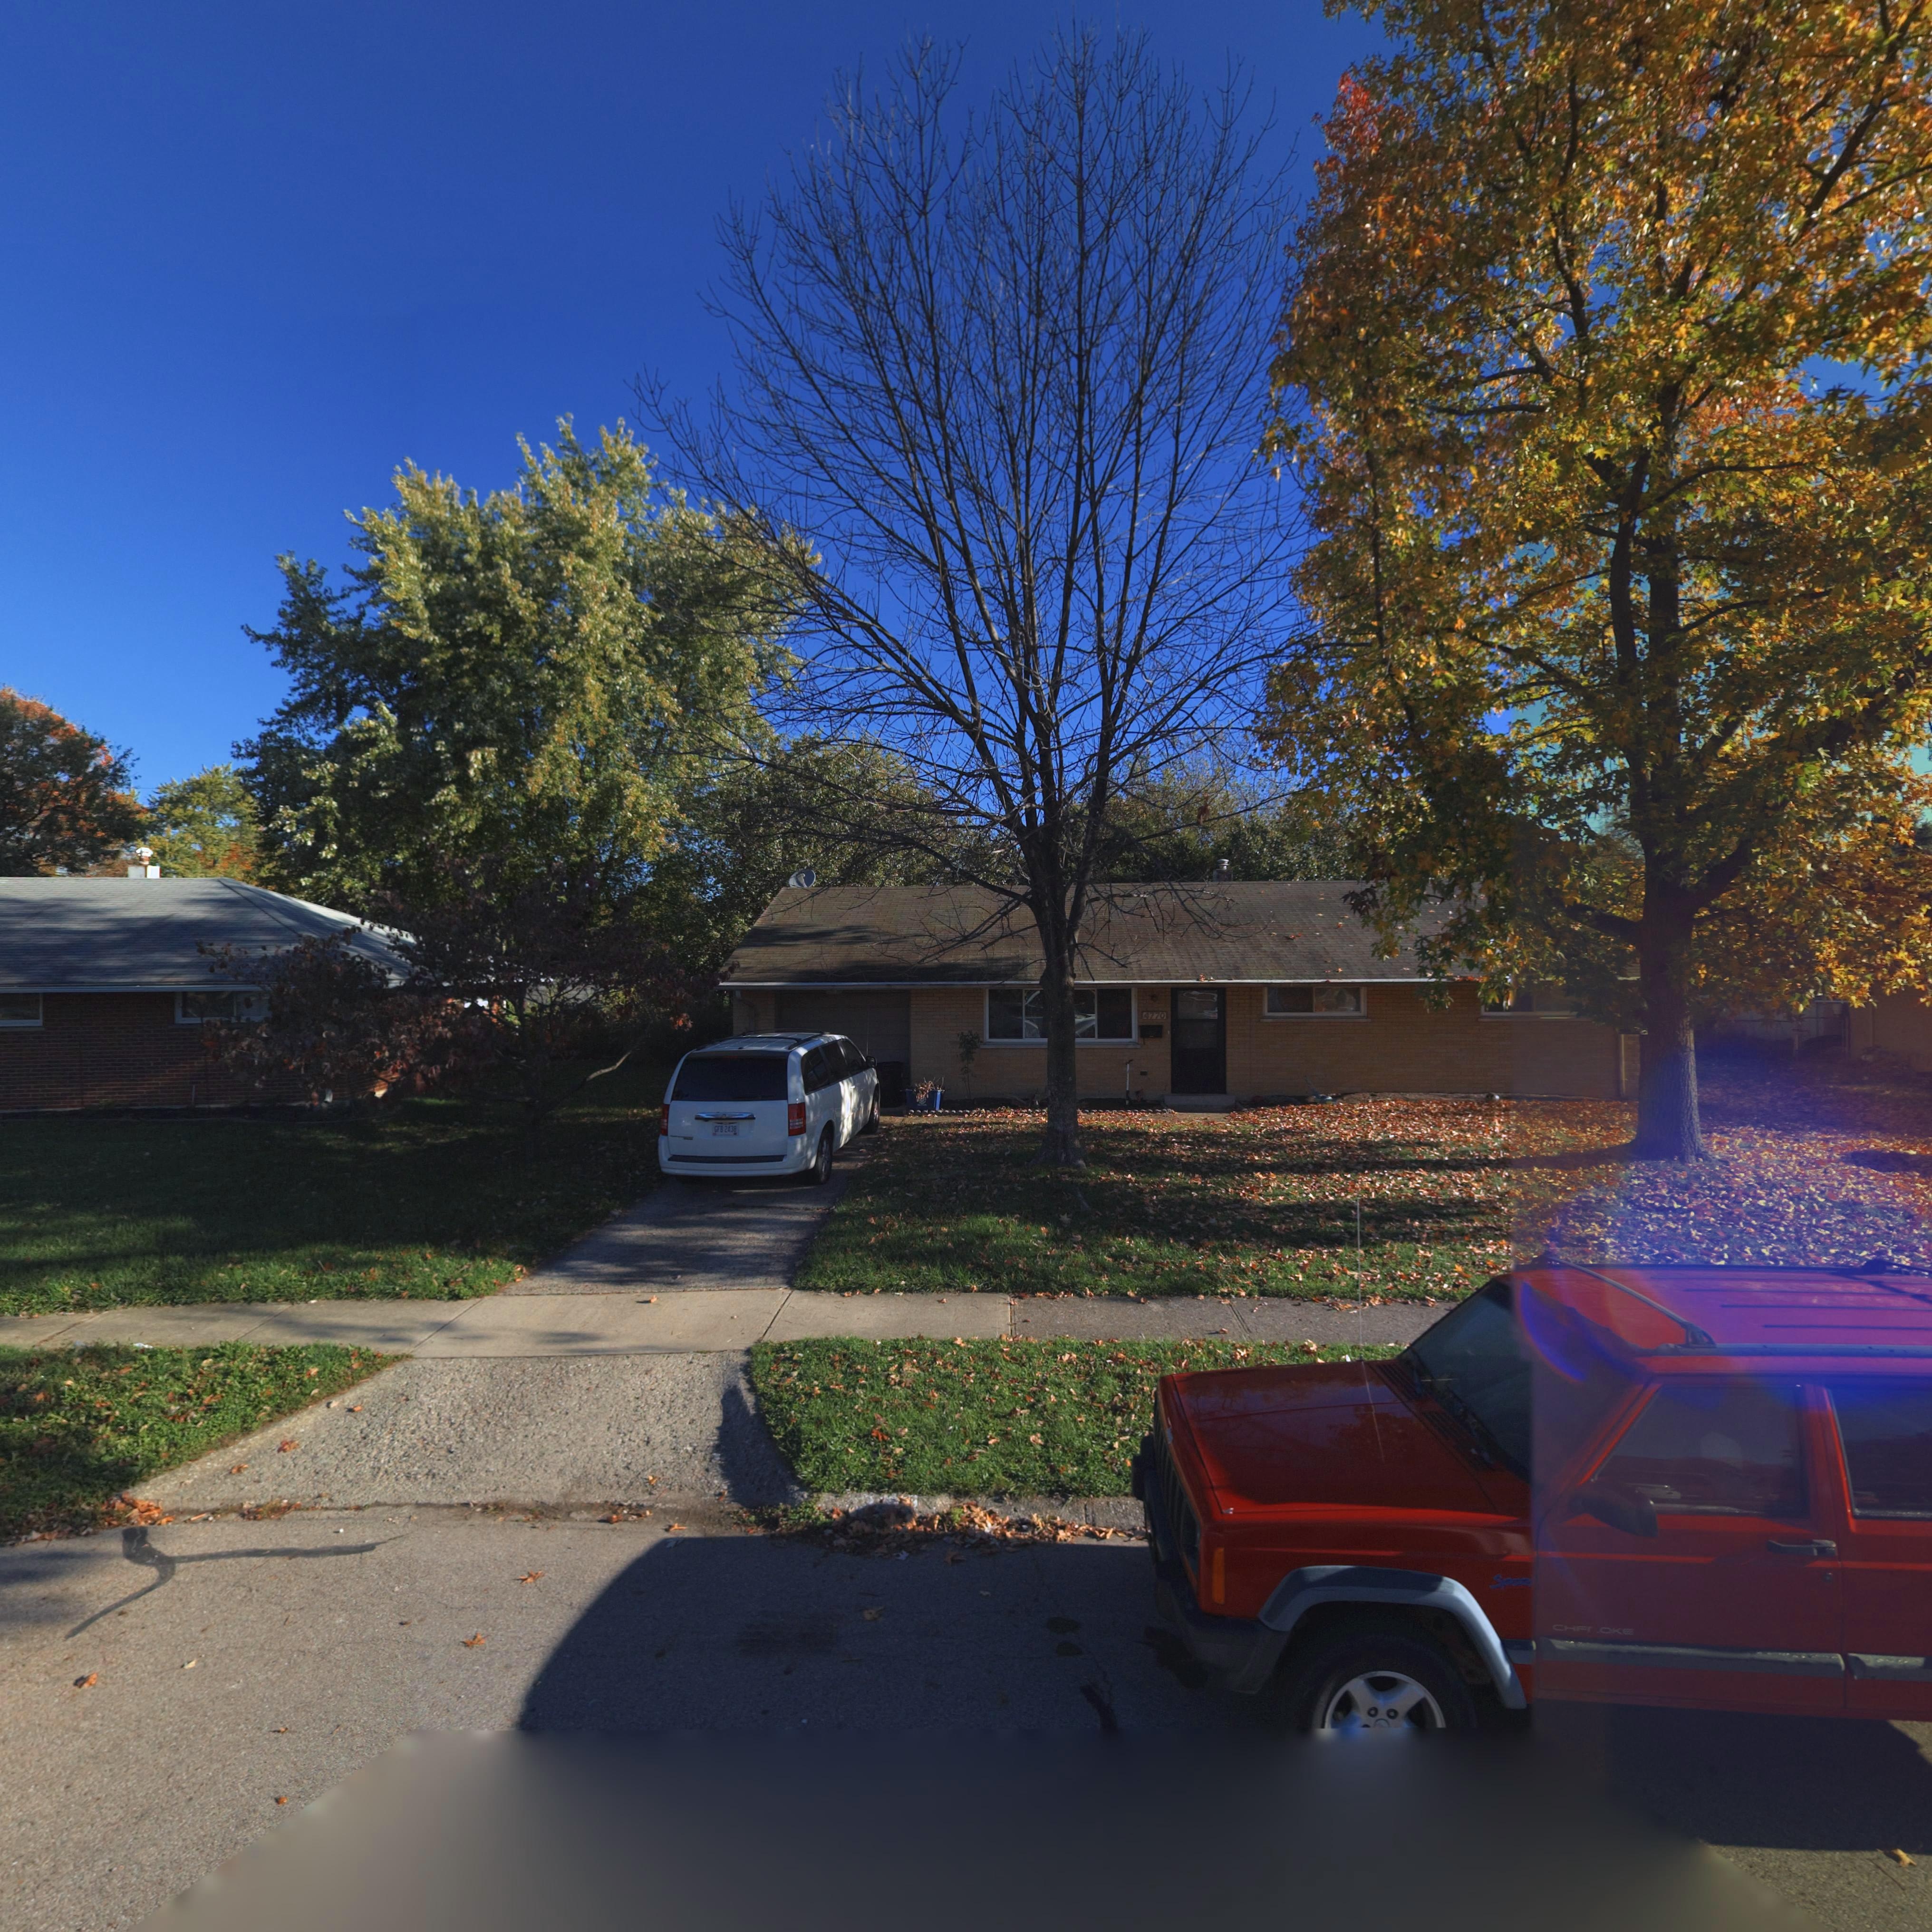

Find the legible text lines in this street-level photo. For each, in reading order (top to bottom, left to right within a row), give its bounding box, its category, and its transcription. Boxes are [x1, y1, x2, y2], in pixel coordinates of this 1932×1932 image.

[1142, 1011, 1166, 1020] StreetNumber: 4770